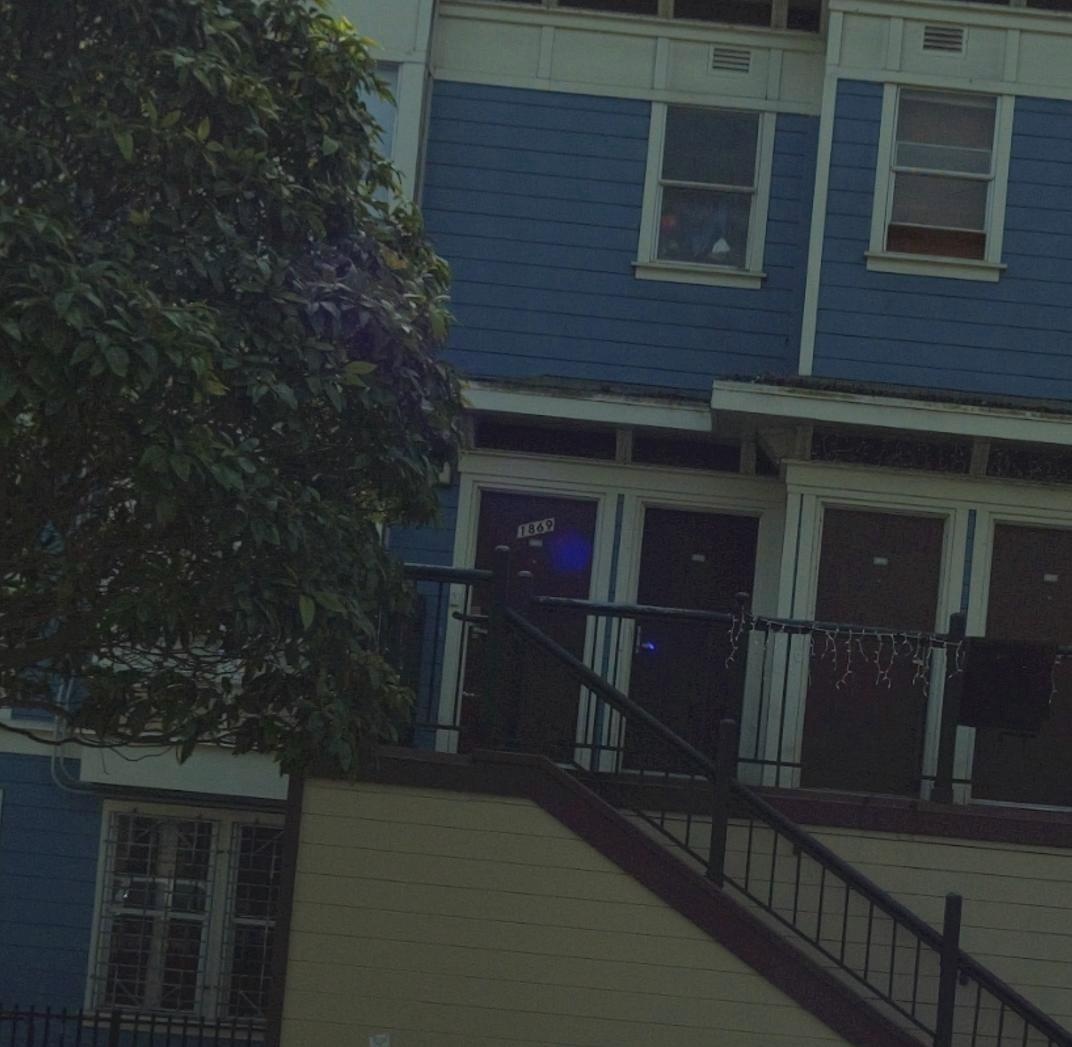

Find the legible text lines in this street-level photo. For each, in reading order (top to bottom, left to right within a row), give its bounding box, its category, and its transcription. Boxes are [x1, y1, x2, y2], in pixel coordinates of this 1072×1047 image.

[517, 517, 555, 540] StreetNumber: 1869